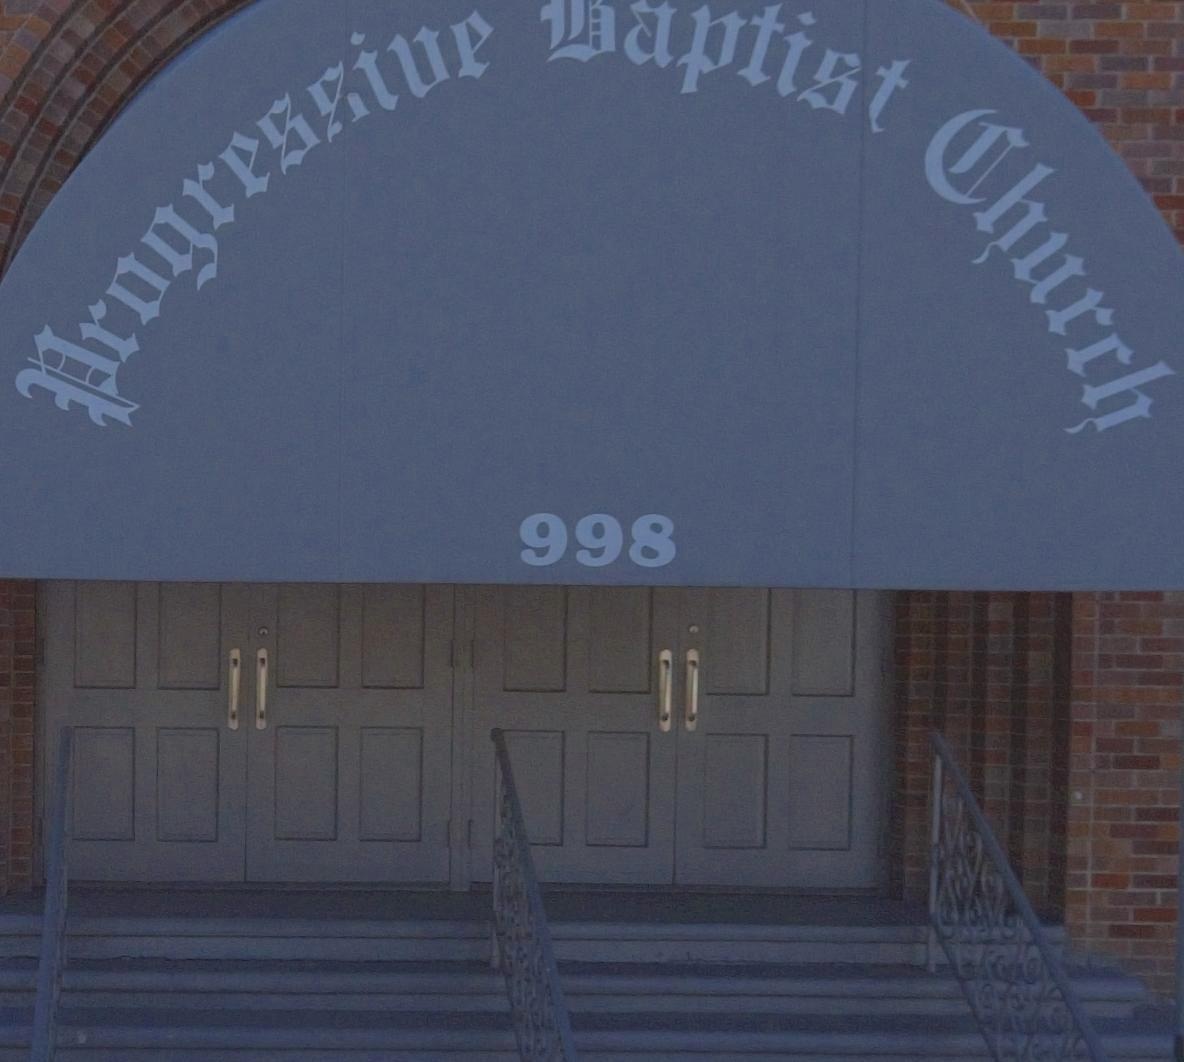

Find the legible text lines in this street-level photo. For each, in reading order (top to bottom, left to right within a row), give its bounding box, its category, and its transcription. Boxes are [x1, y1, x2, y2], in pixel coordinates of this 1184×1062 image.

[11, 3, 508, 438] BusinessName: Progressive
[618, 1, 1183, 461] BusinessName: aptist Church
[515, 508, 679, 572] StreetNumber: 998